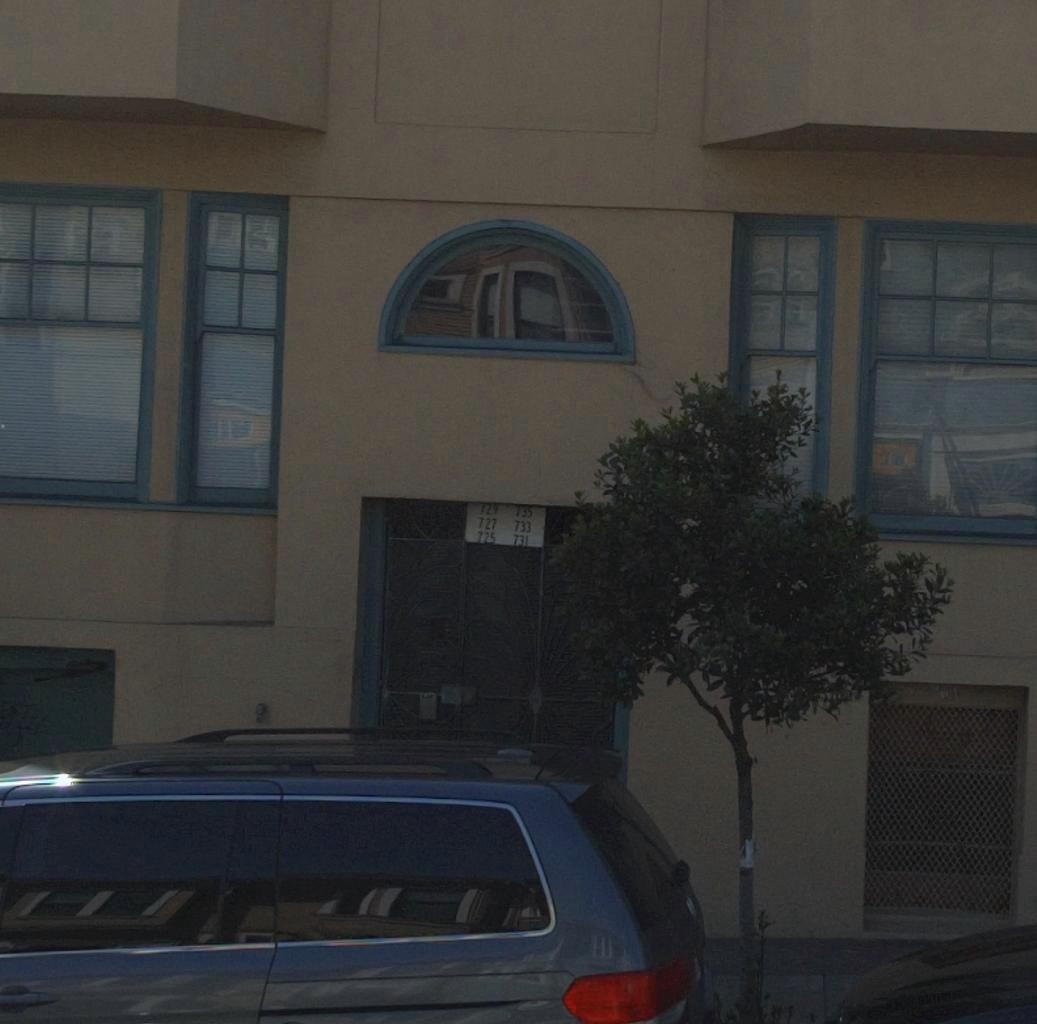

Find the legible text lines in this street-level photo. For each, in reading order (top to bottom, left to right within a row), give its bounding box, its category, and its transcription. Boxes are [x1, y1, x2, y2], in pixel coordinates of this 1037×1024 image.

[478, 501, 498, 515] StreetNumber: 729
[515, 504, 534, 518] StreetNumber: 735
[476, 517, 498, 531] StreetNumber: 727
[513, 520, 531, 533] StreetNumber: 733
[475, 531, 496, 544] StreetNumber: 725
[511, 534, 530, 545] StreetNumber: 731